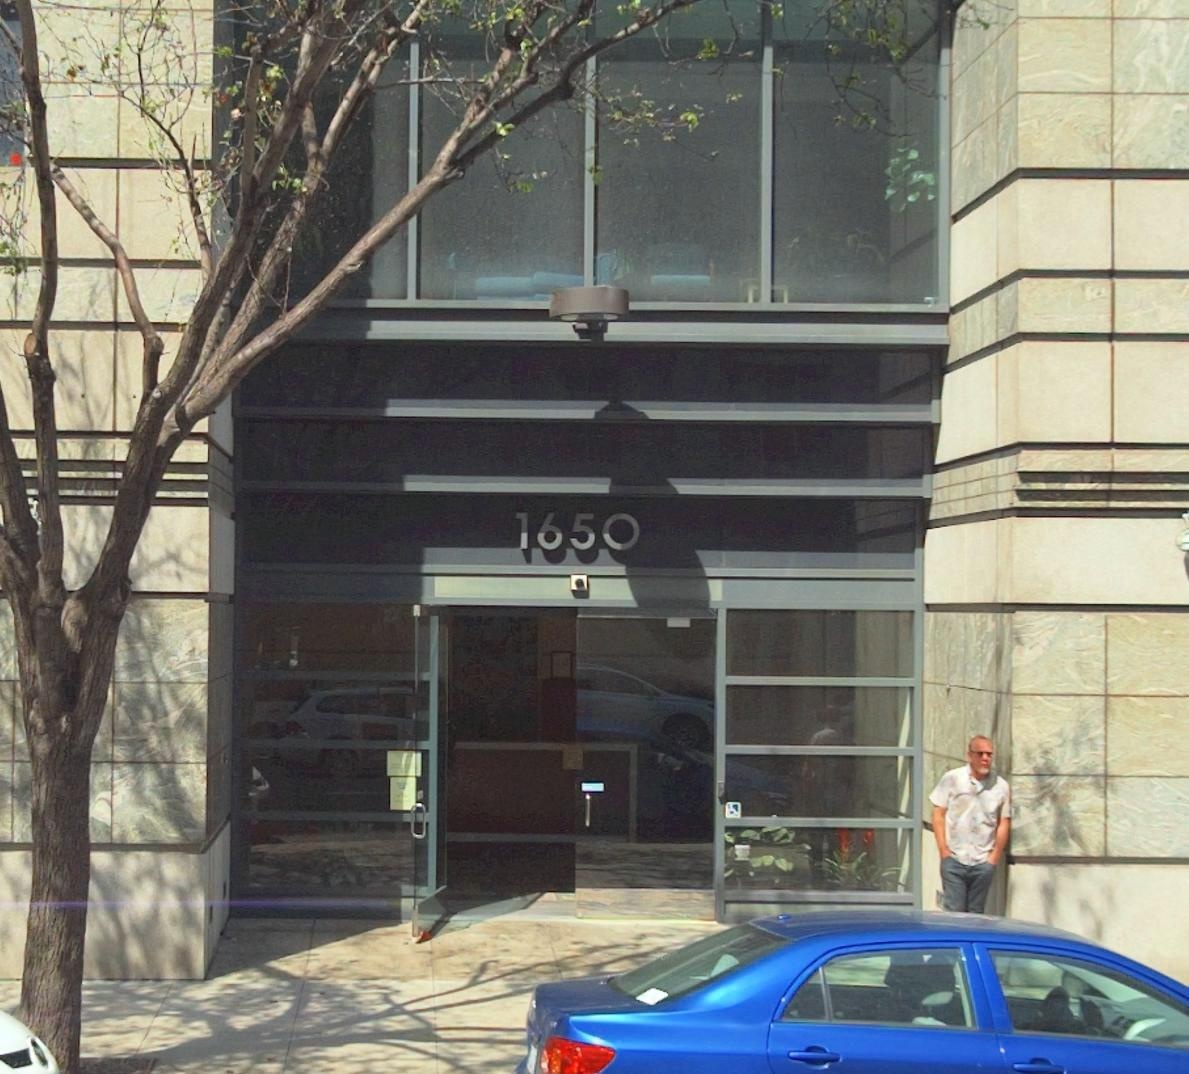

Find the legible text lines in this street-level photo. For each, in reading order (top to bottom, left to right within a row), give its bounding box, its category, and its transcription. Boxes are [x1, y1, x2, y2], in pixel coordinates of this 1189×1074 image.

[515, 510, 641, 551] StreetNumber: 1650